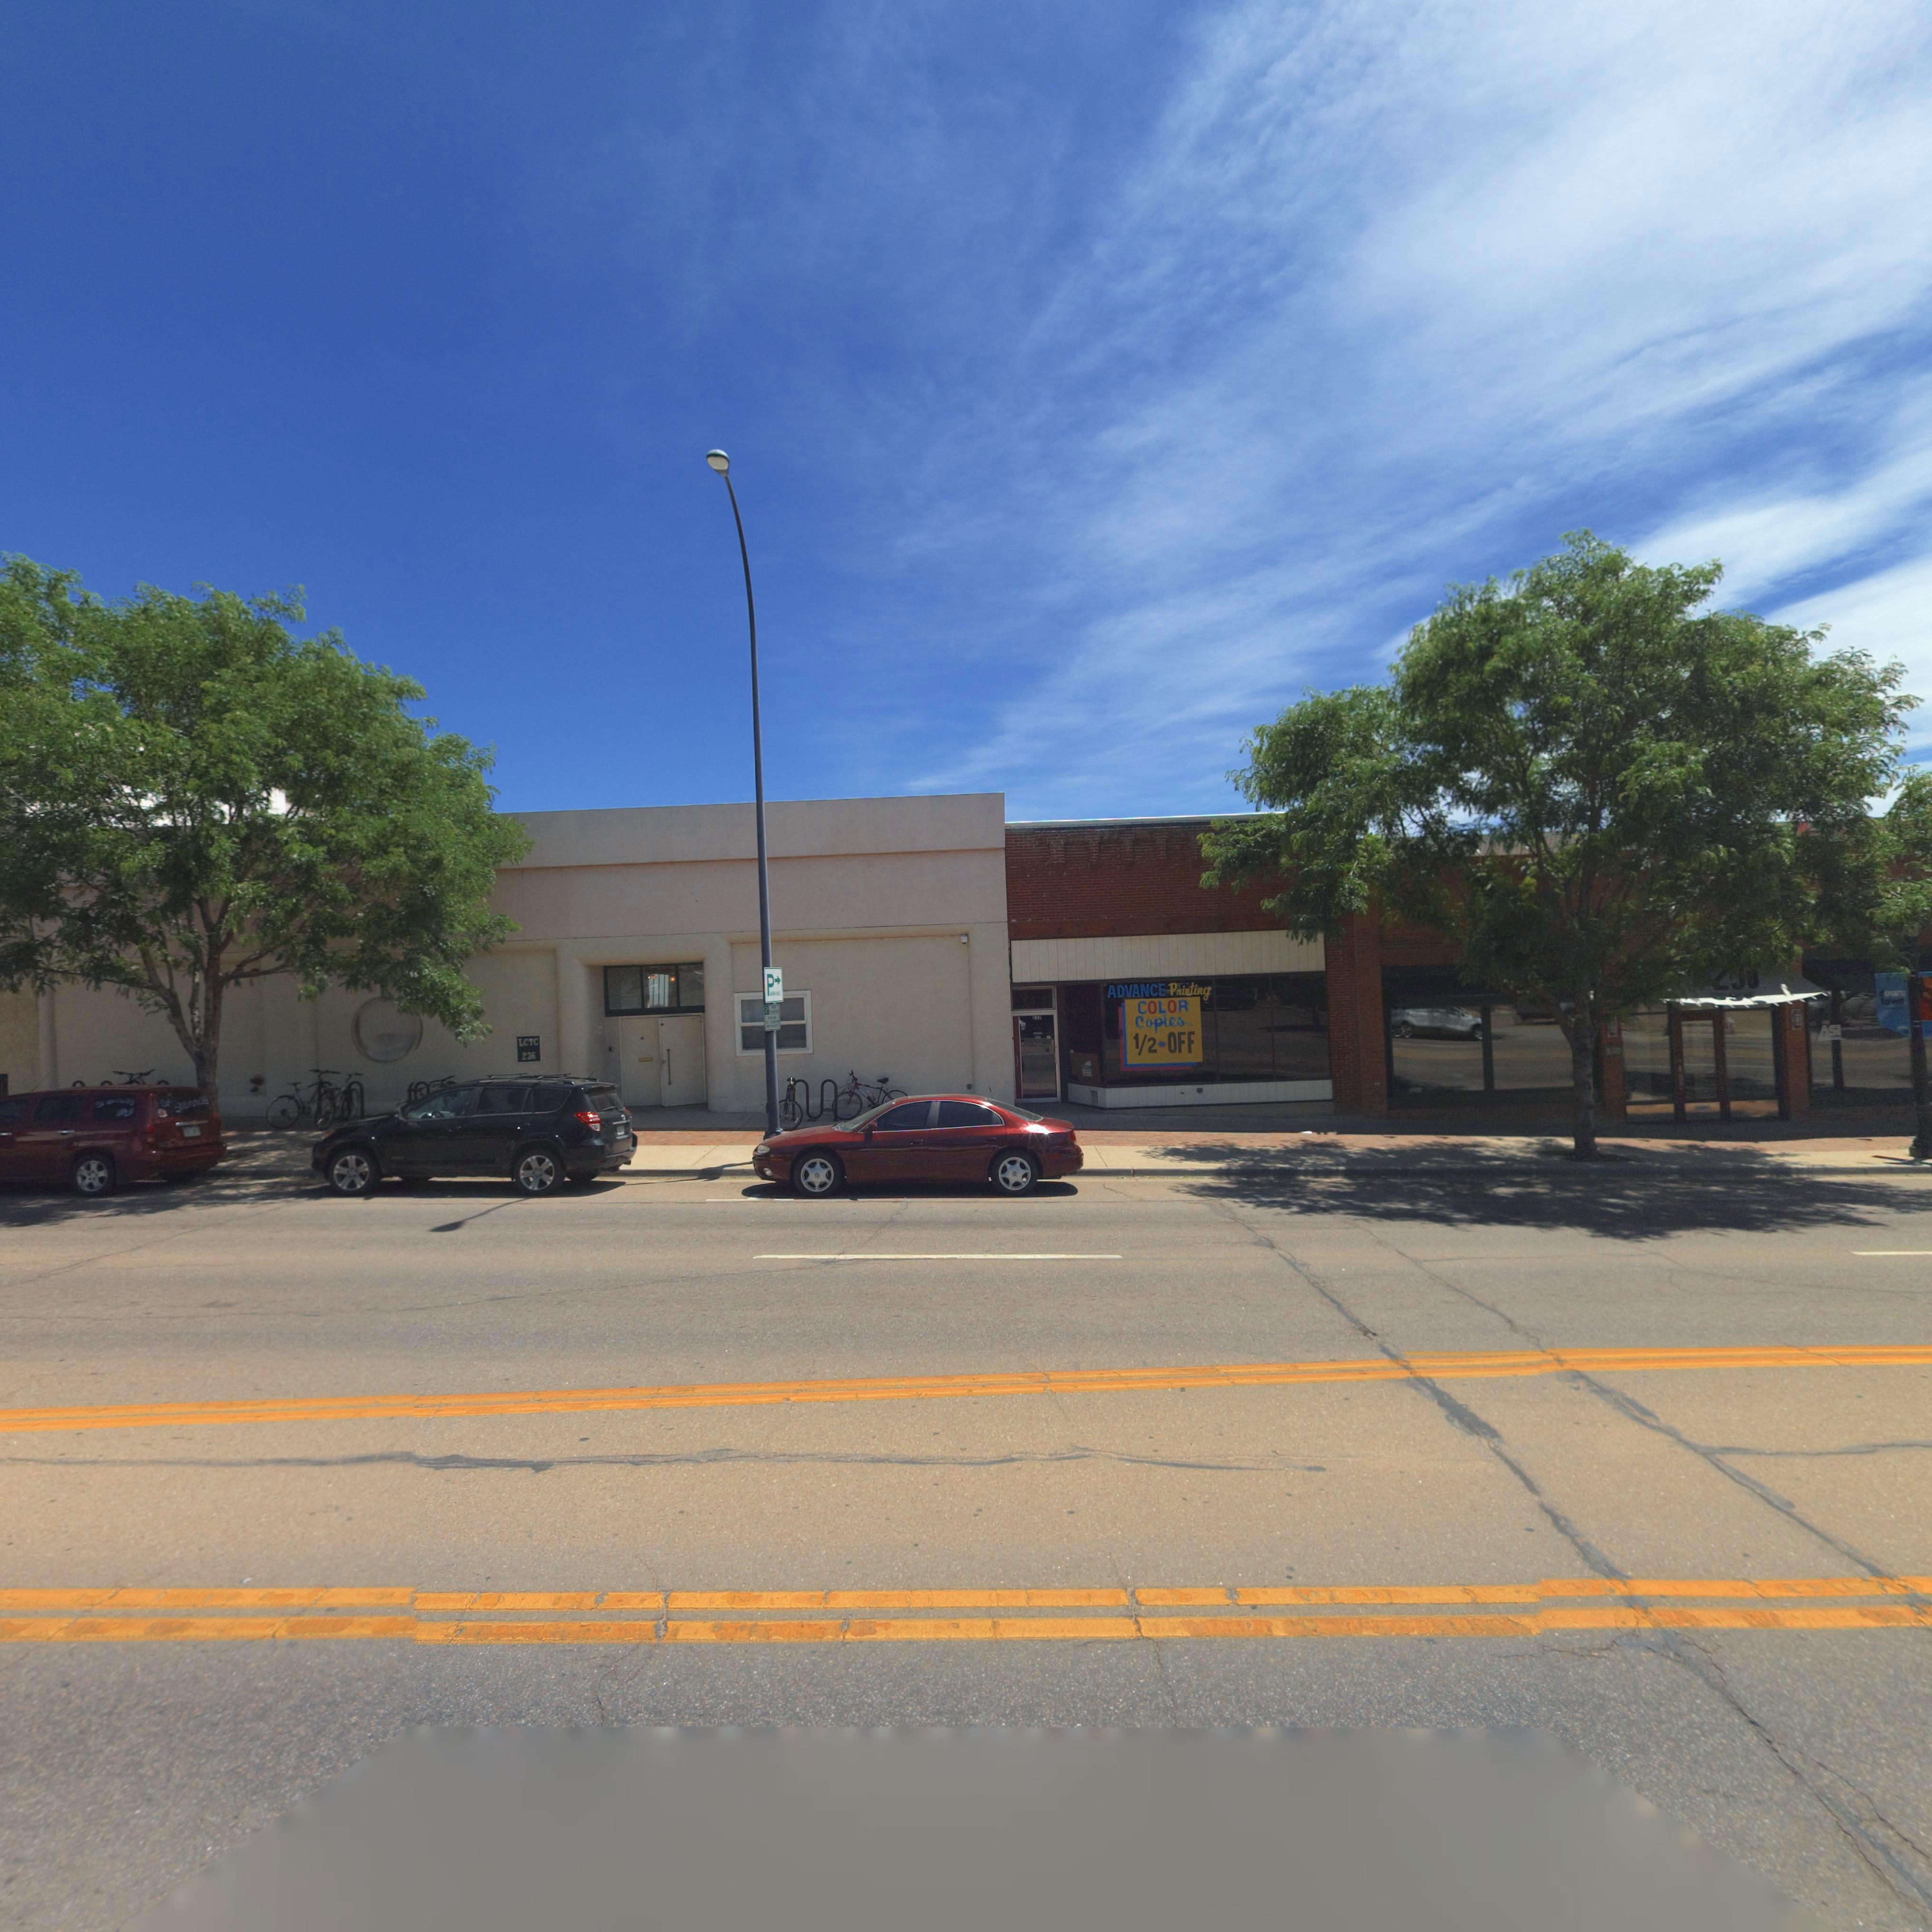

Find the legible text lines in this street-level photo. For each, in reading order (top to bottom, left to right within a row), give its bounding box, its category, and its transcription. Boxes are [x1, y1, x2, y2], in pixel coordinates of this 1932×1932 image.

[1710, 959, 1760, 991] StreetNumber: 2**
[1106, 981, 1212, 1002] BusinessName: ADVANCE Printing
[1032, 1015, 1041, 1020] StreetNumber: 2*2
[518, 1037, 539, 1047] BusinessName: LCTC
[522, 1051, 536, 1060] StreetNumber: 236
[1605, 1046, 1622, 1055] StreetNumber: 230